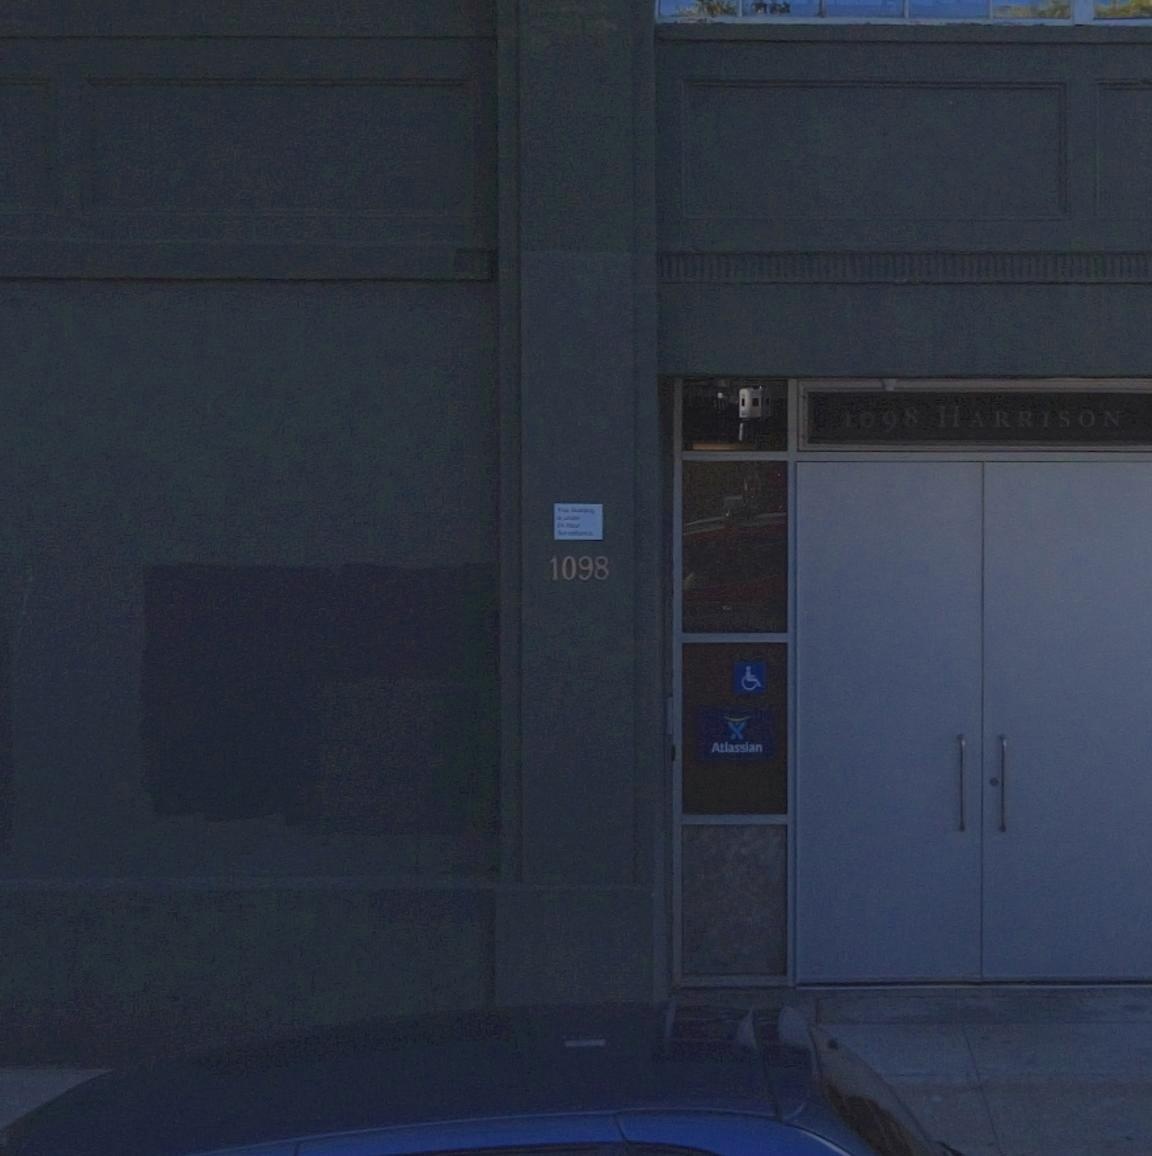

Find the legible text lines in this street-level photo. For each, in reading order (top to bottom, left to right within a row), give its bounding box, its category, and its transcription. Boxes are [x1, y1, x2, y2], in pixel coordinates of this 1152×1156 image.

[840, 405, 919, 434] StreetNumber: 1098
[934, 402, 1125, 430] StreetName: HARRISON
[547, 552, 611, 584] StreetNumber: 1098
[711, 741, 763, 754] None: Atlassian